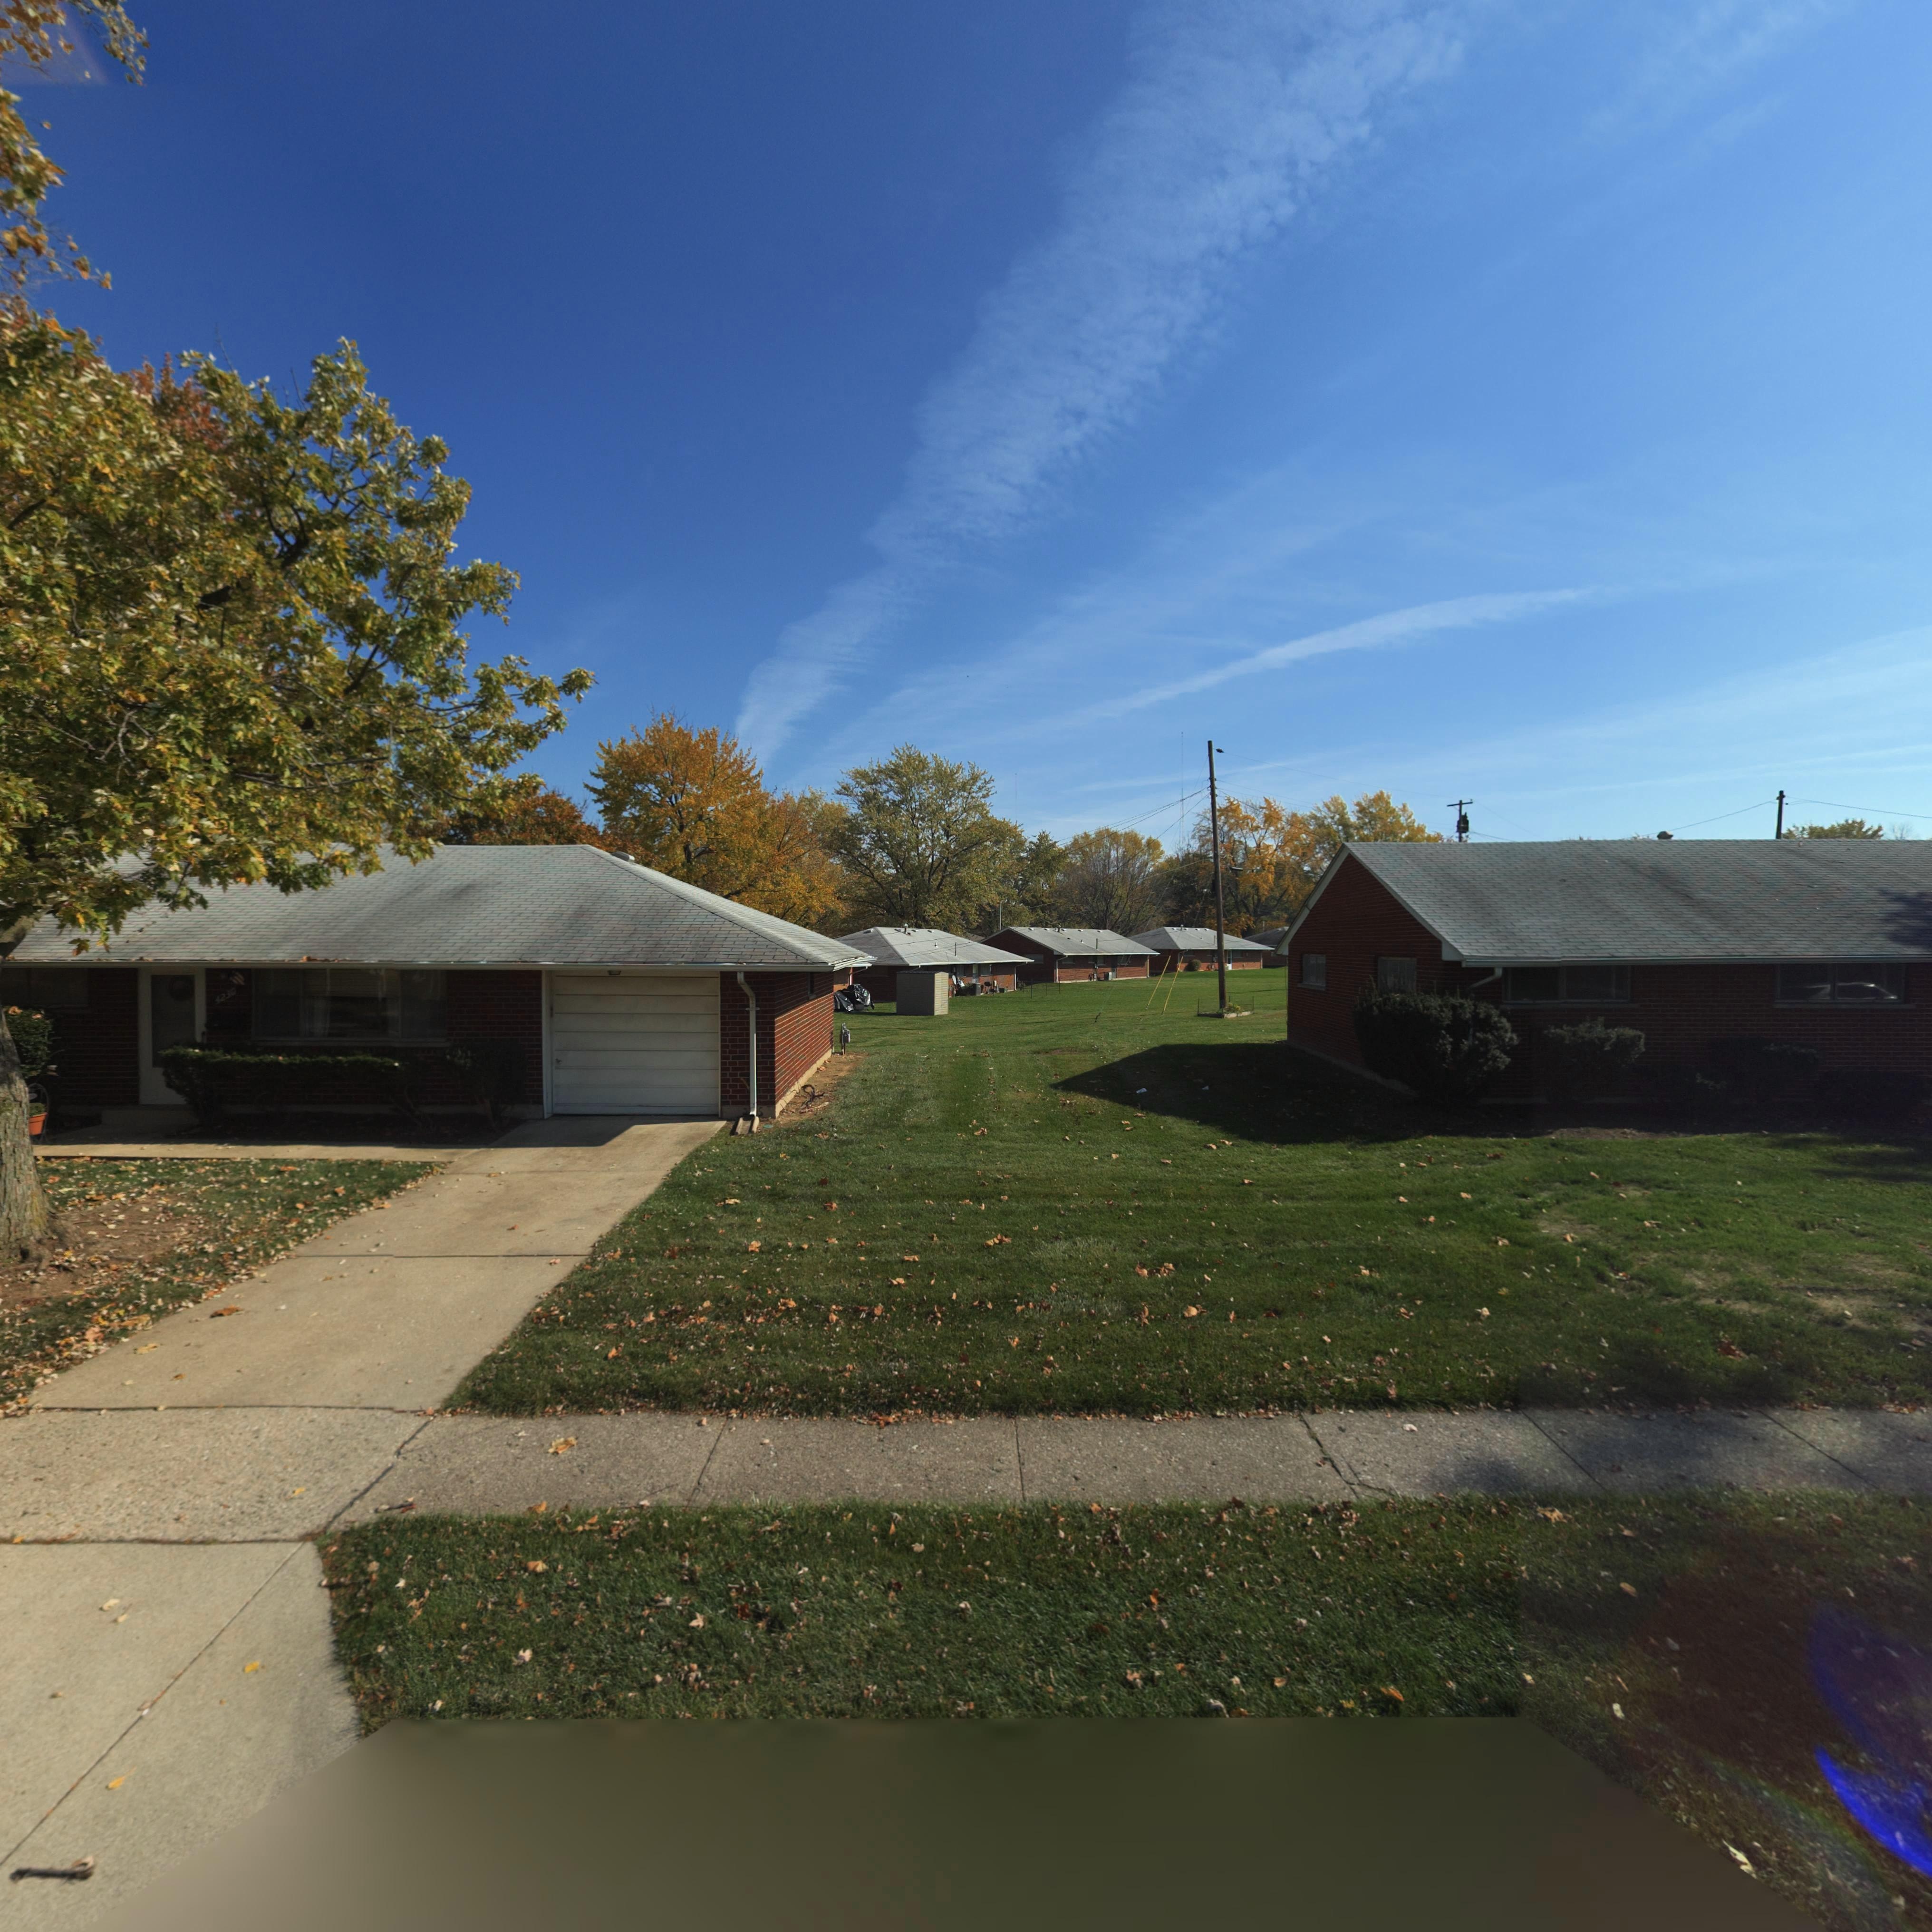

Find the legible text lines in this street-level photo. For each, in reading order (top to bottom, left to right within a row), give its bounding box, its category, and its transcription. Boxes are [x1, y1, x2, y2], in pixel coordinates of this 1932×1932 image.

[214, 985, 238, 1005] StreetNumber: 4230